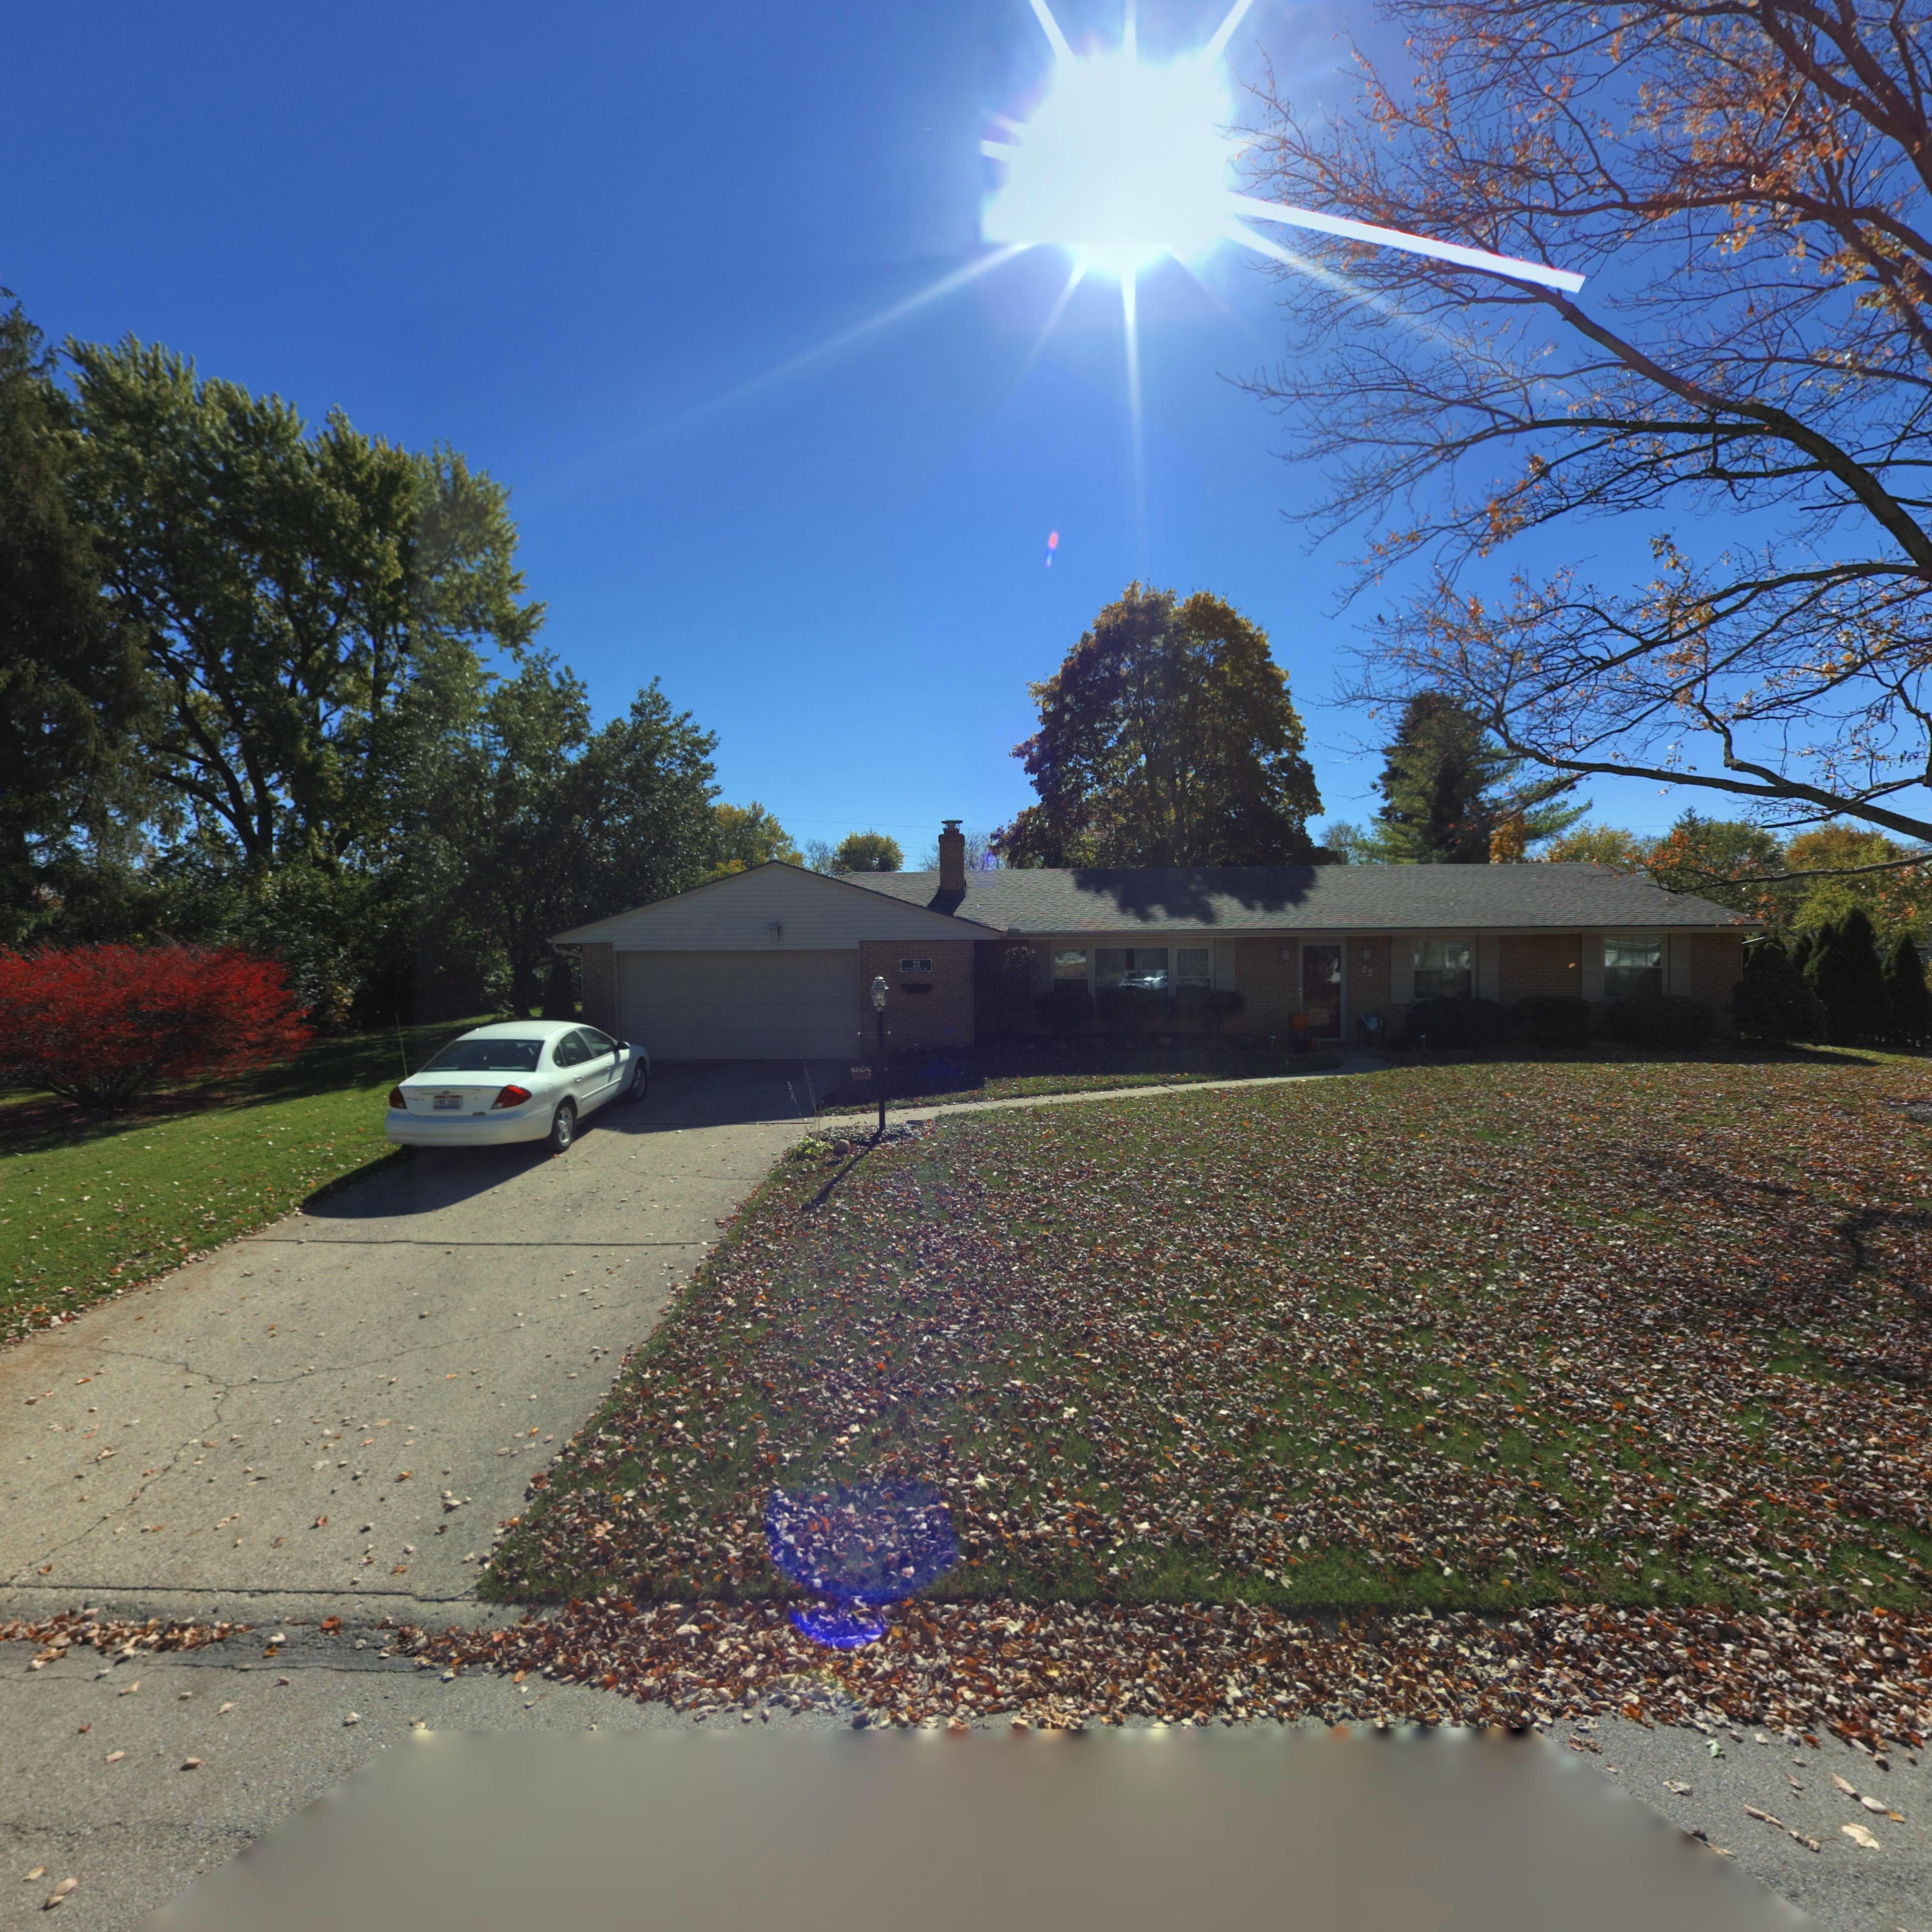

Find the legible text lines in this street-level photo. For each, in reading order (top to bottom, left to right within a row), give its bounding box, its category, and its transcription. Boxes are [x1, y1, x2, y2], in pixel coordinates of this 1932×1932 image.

[911, 960, 921, 968] StreetNumber: 22
[1361, 964, 1374, 977] StreetNumber: 22